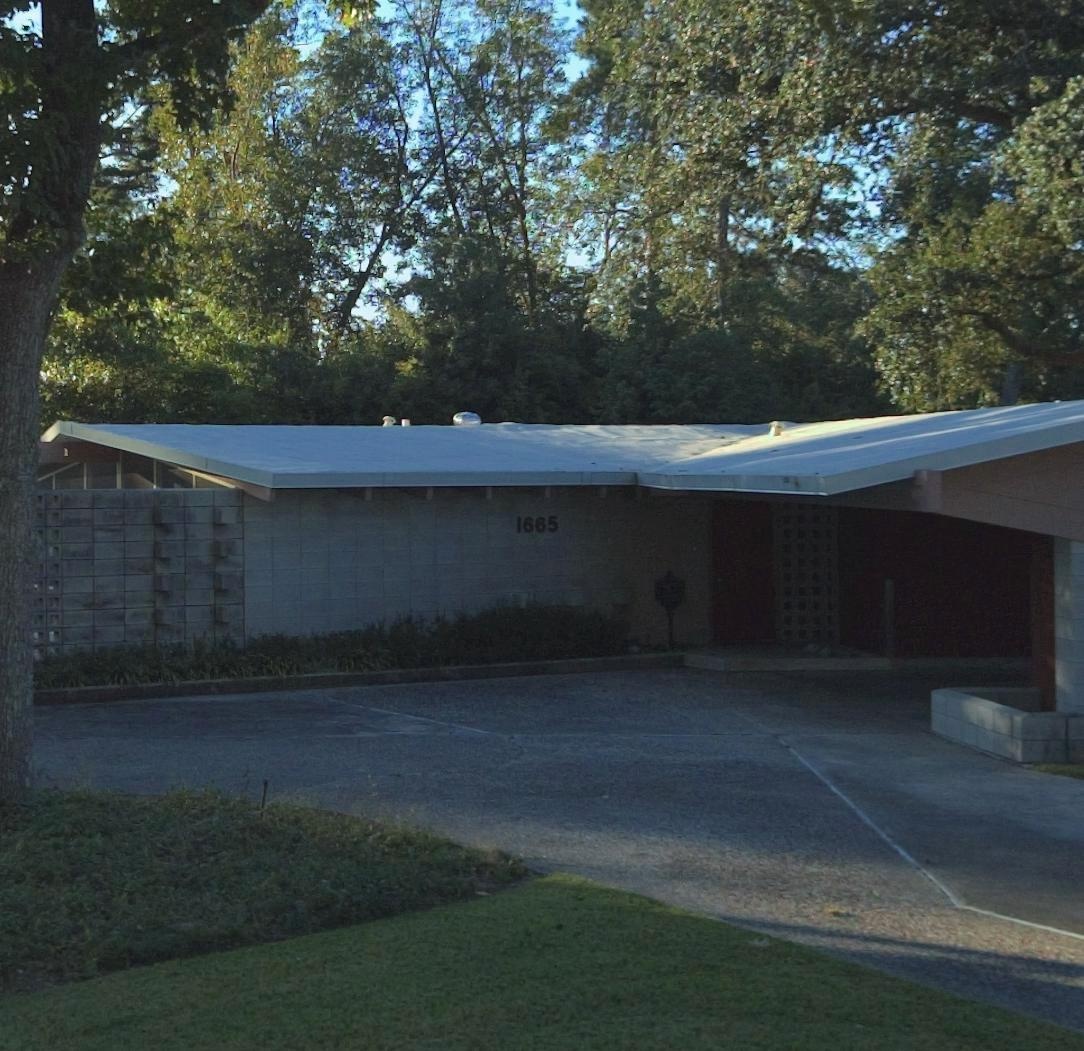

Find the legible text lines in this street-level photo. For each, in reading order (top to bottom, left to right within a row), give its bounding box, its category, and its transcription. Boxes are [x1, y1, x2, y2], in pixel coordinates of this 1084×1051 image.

[515, 514, 560, 535] StreetNumber: 1665